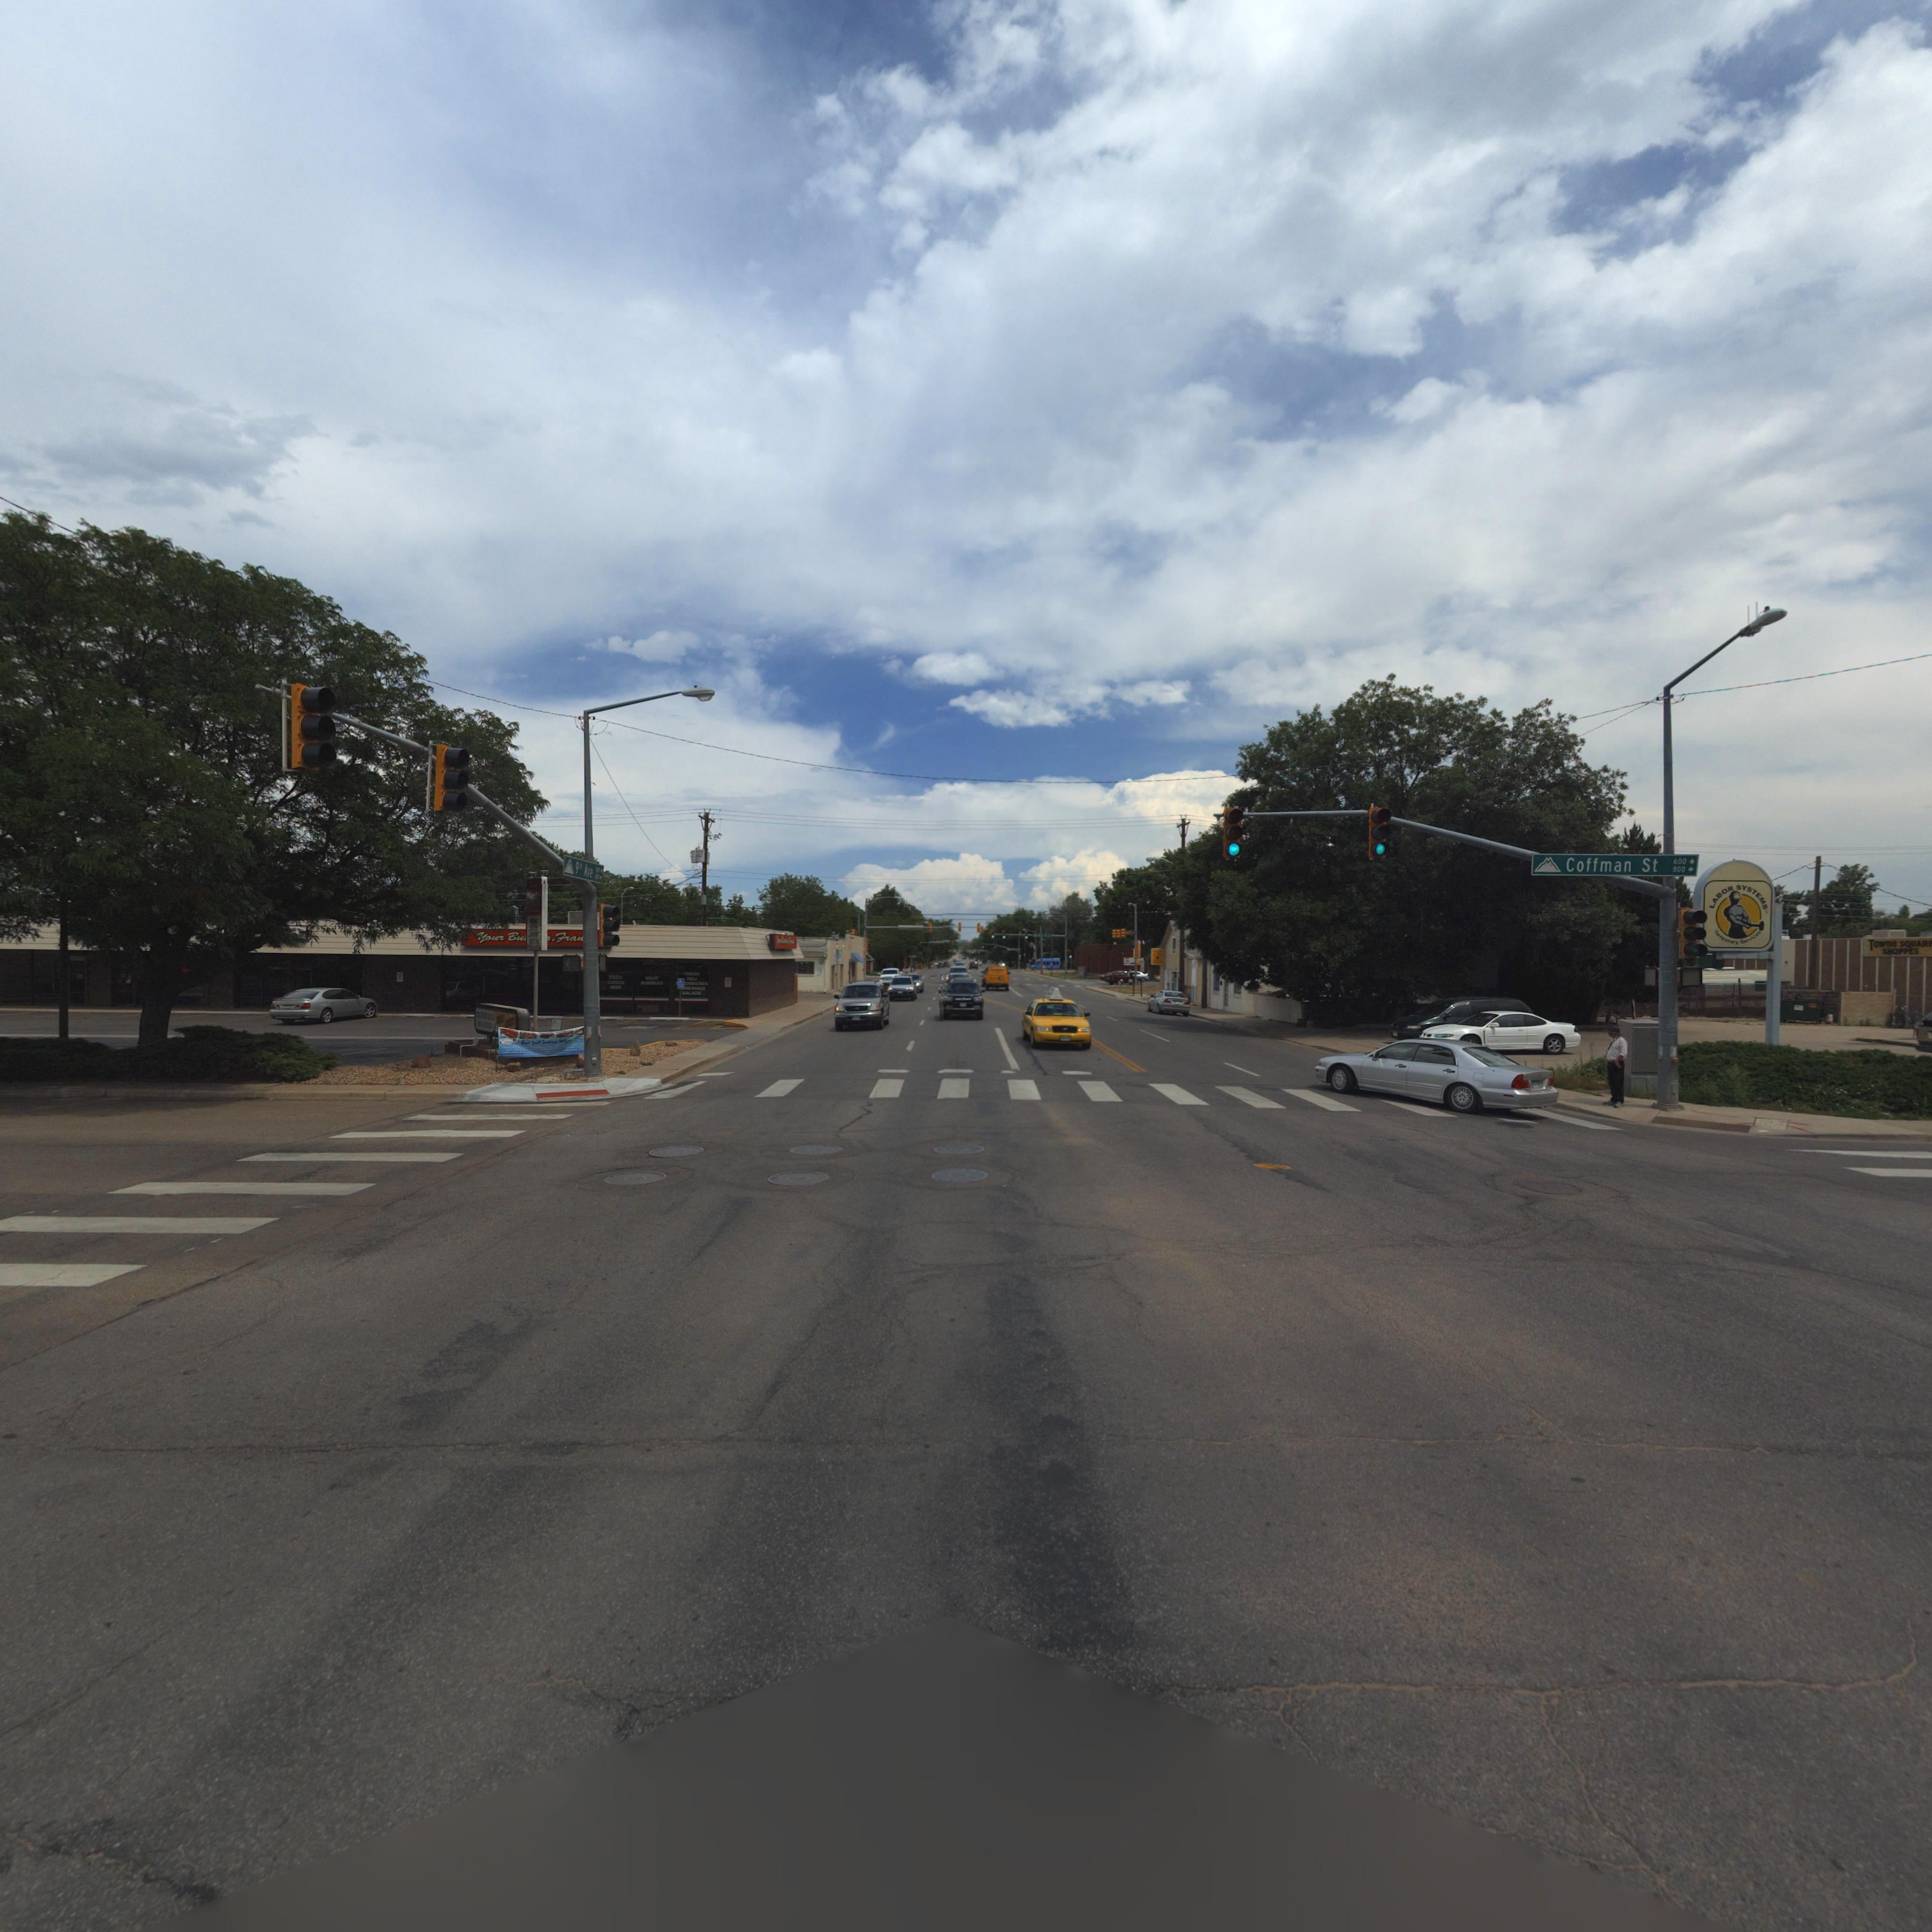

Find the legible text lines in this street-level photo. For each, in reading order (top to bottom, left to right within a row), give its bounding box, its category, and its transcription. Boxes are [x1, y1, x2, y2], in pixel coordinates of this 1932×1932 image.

[575, 861, 592, 878] StreetName: 9th Ave
[1566, 857, 1658, 872] StreetName: Coffman
[1672, 858, 1687, 865] StreetNumberRange: 600
[1672, 865, 1694, 873] StreetNumberRange: 800->
[1709, 885, 1768, 909] BusinessName: Labor Systems
[475, 931, 583, 944] BusinessName: Your Bu*****, Fran*
[1868, 939, 1929, 951] BusinessName: Towns SQUAR
[1882, 948, 1919, 955] BusinessName: SHOPPERS
[494, 1013, 504, 1026] BusinessName: DELI